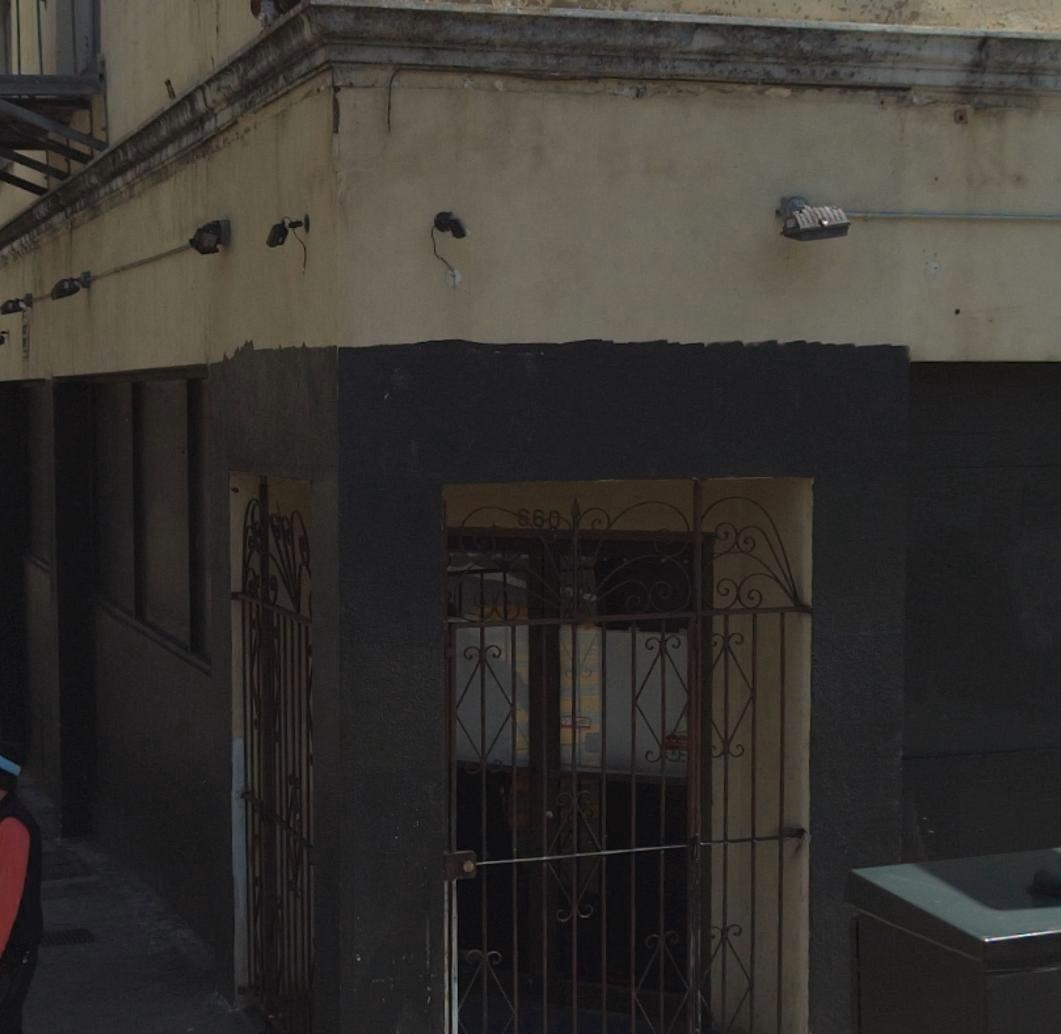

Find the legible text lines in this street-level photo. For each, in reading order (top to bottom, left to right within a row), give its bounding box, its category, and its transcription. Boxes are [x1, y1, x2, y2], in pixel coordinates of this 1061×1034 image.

[515, 507, 563, 528] StreetNumber: 660